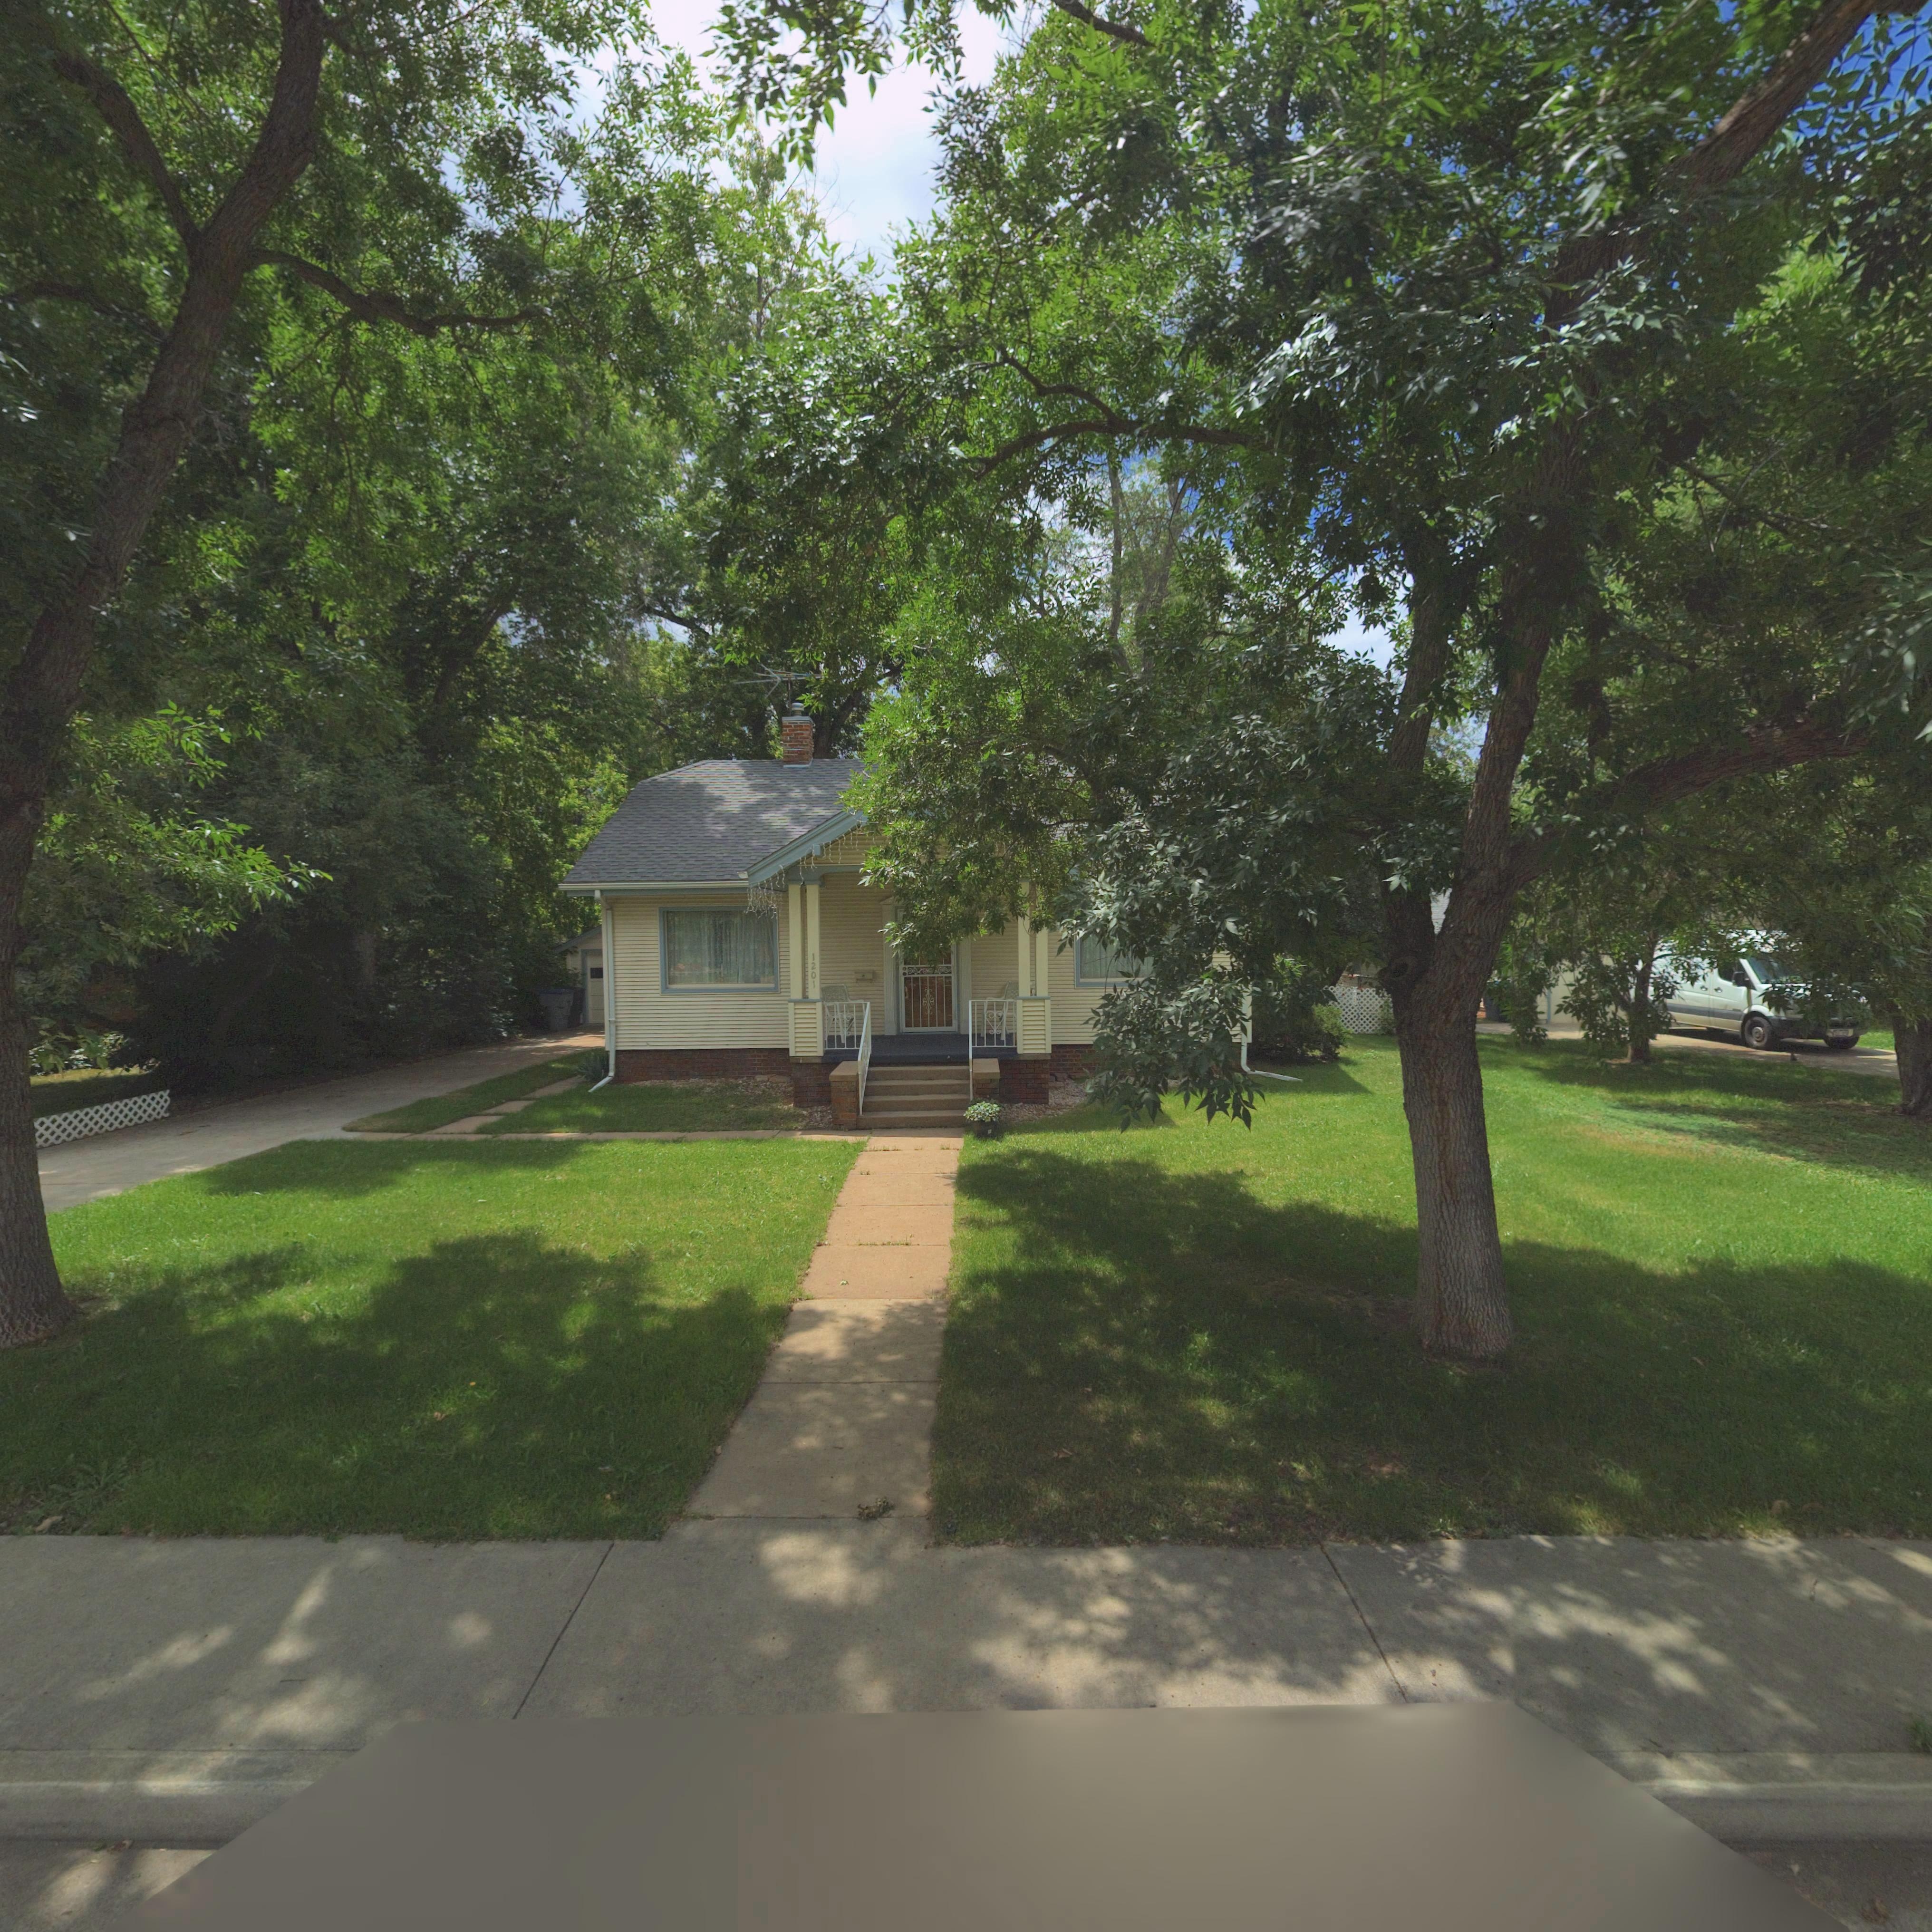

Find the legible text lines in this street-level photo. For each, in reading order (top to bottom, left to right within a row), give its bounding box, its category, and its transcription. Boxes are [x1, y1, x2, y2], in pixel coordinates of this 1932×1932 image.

[811, 953, 816, 988] StreetNumber: 1201